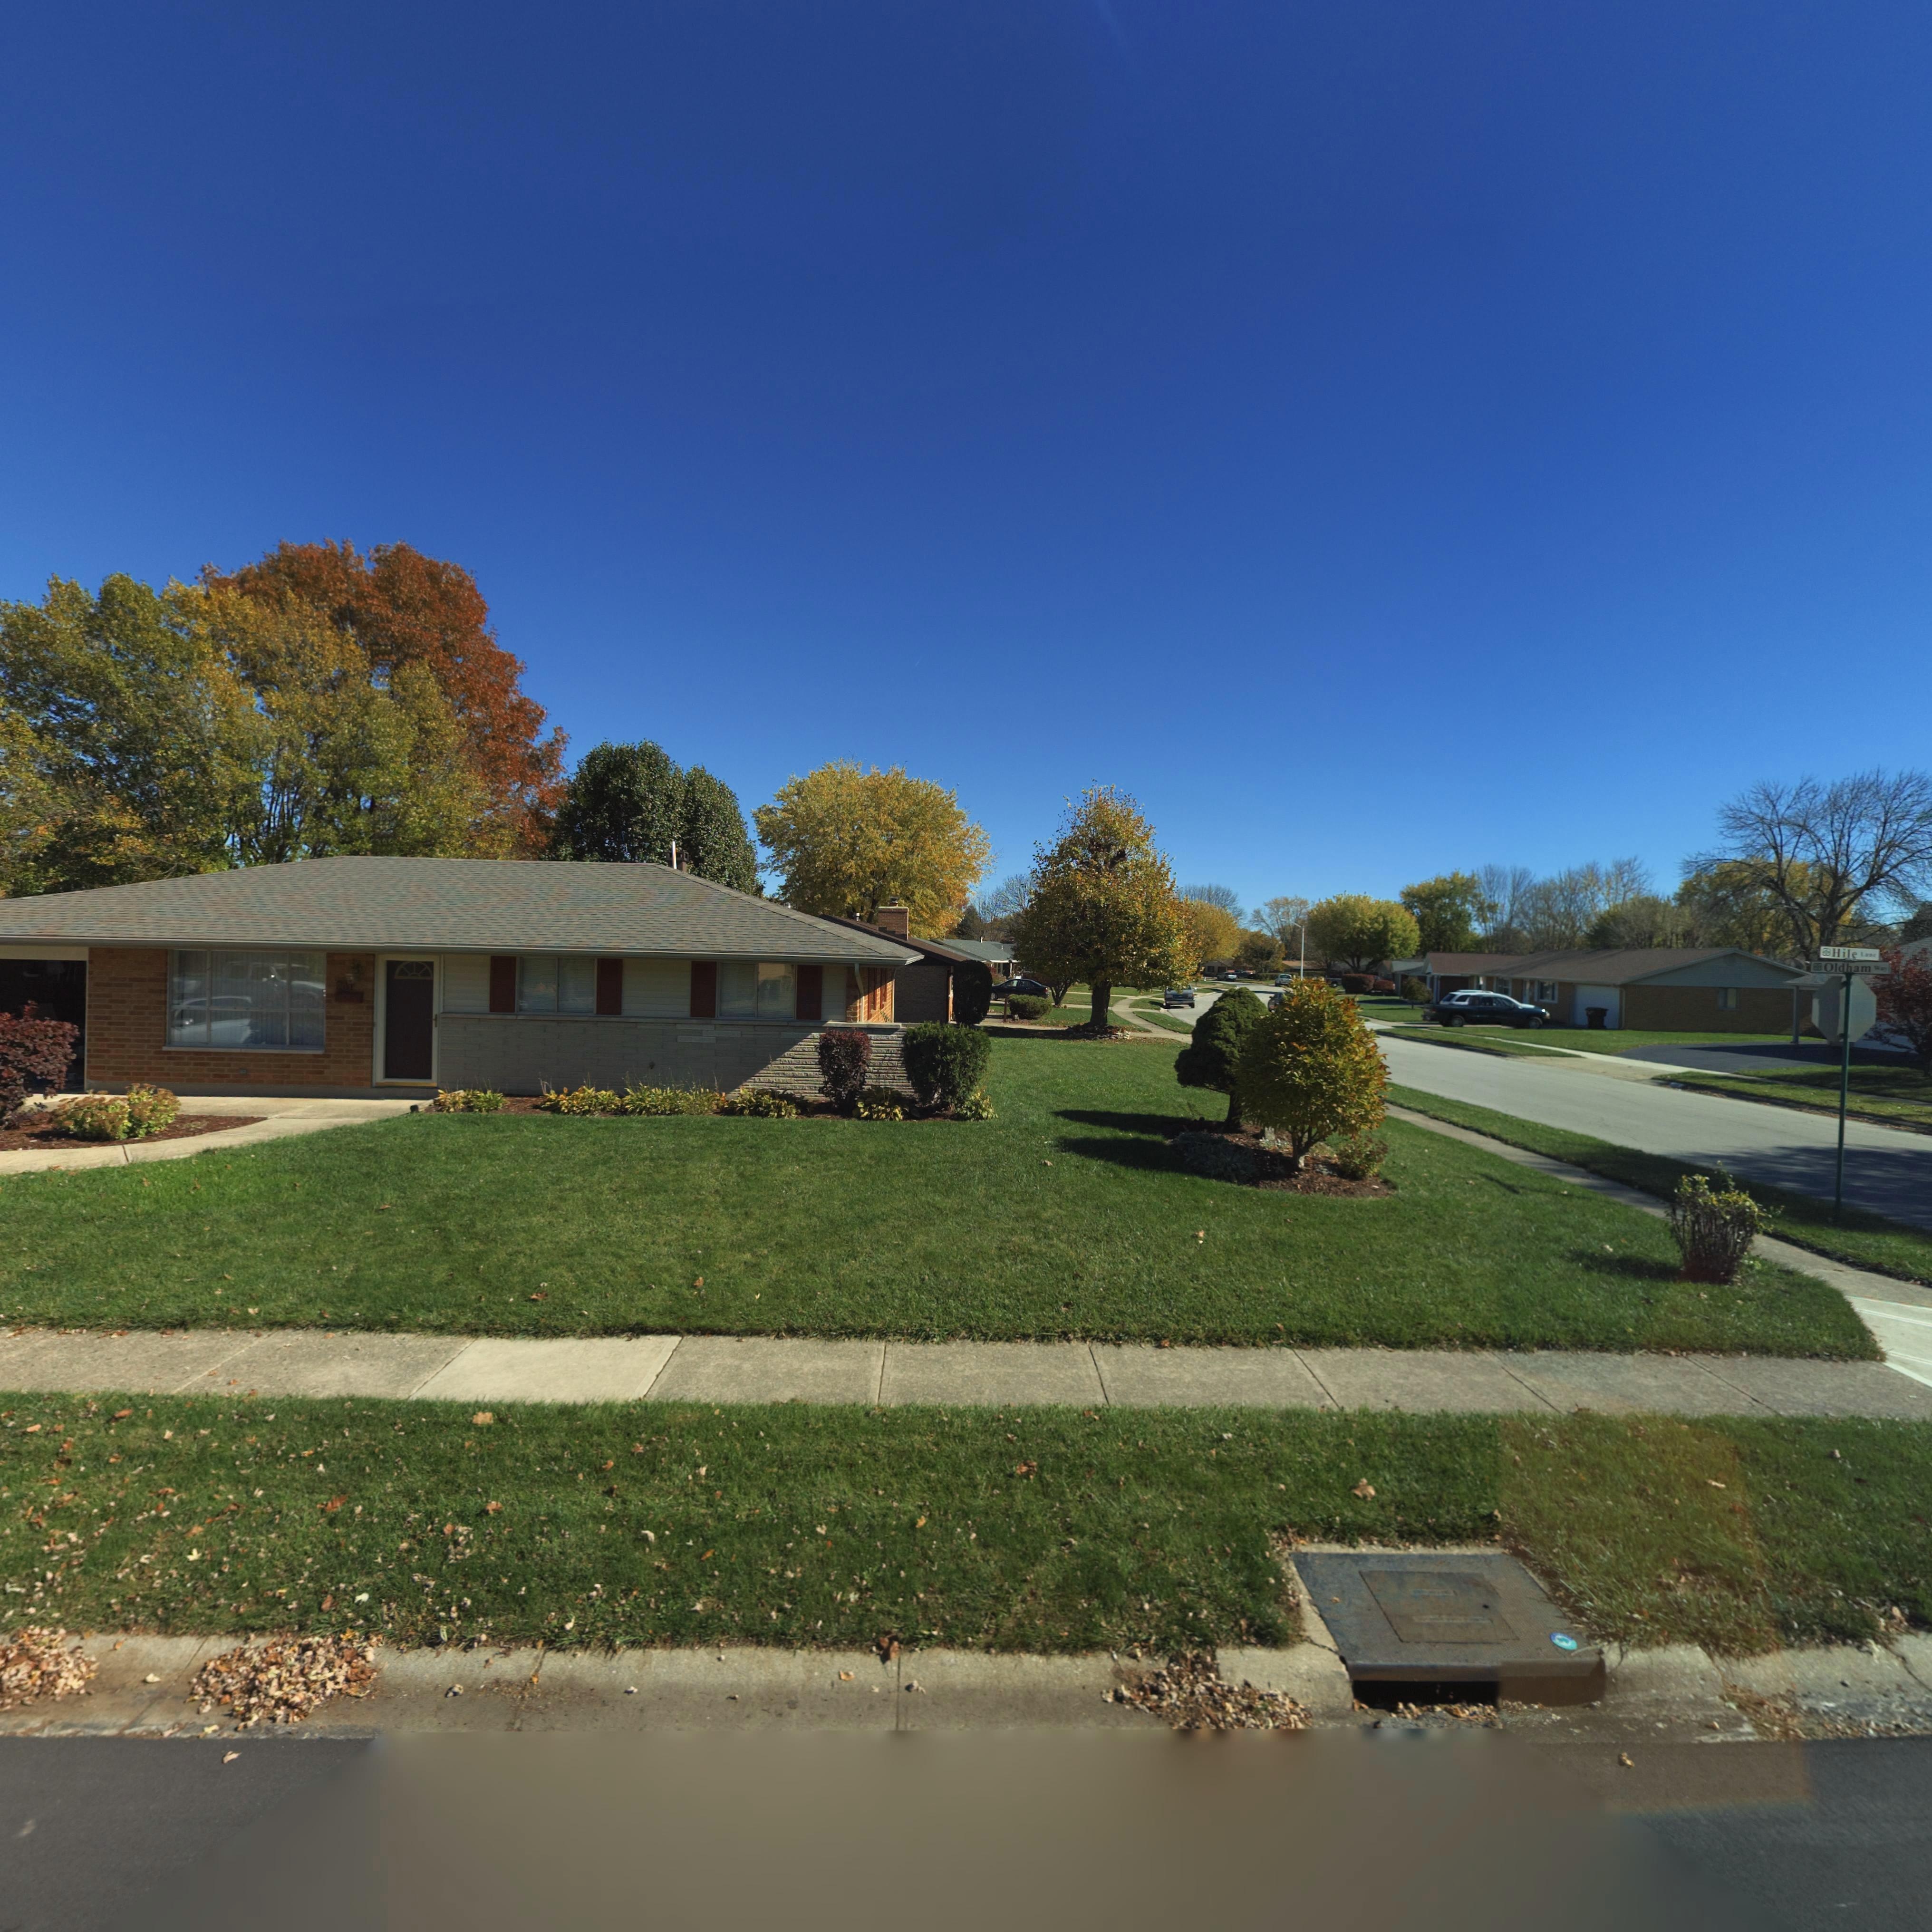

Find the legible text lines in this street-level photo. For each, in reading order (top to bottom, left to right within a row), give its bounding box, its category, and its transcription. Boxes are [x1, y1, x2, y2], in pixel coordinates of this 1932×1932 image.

[335, 982, 351, 991] StreetNumber: 903